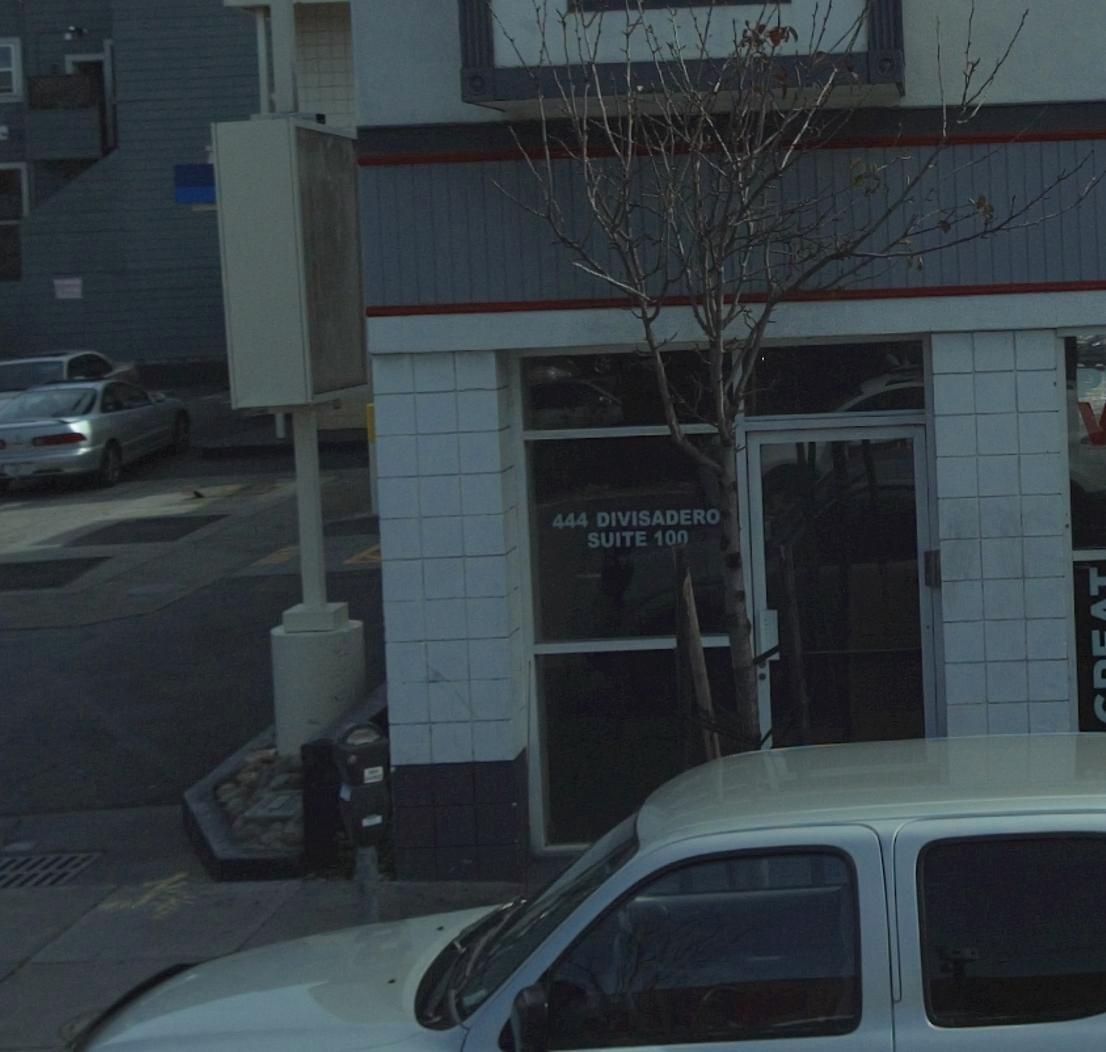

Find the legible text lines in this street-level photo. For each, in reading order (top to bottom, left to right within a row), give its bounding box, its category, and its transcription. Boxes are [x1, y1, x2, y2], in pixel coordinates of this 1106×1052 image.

[550, 510, 590, 532] StreetNumber: 444
[594, 505, 724, 530] StreetName: DIVISADERO
[584, 527, 691, 551] SecondaryUnitDesignator: SUITE 100